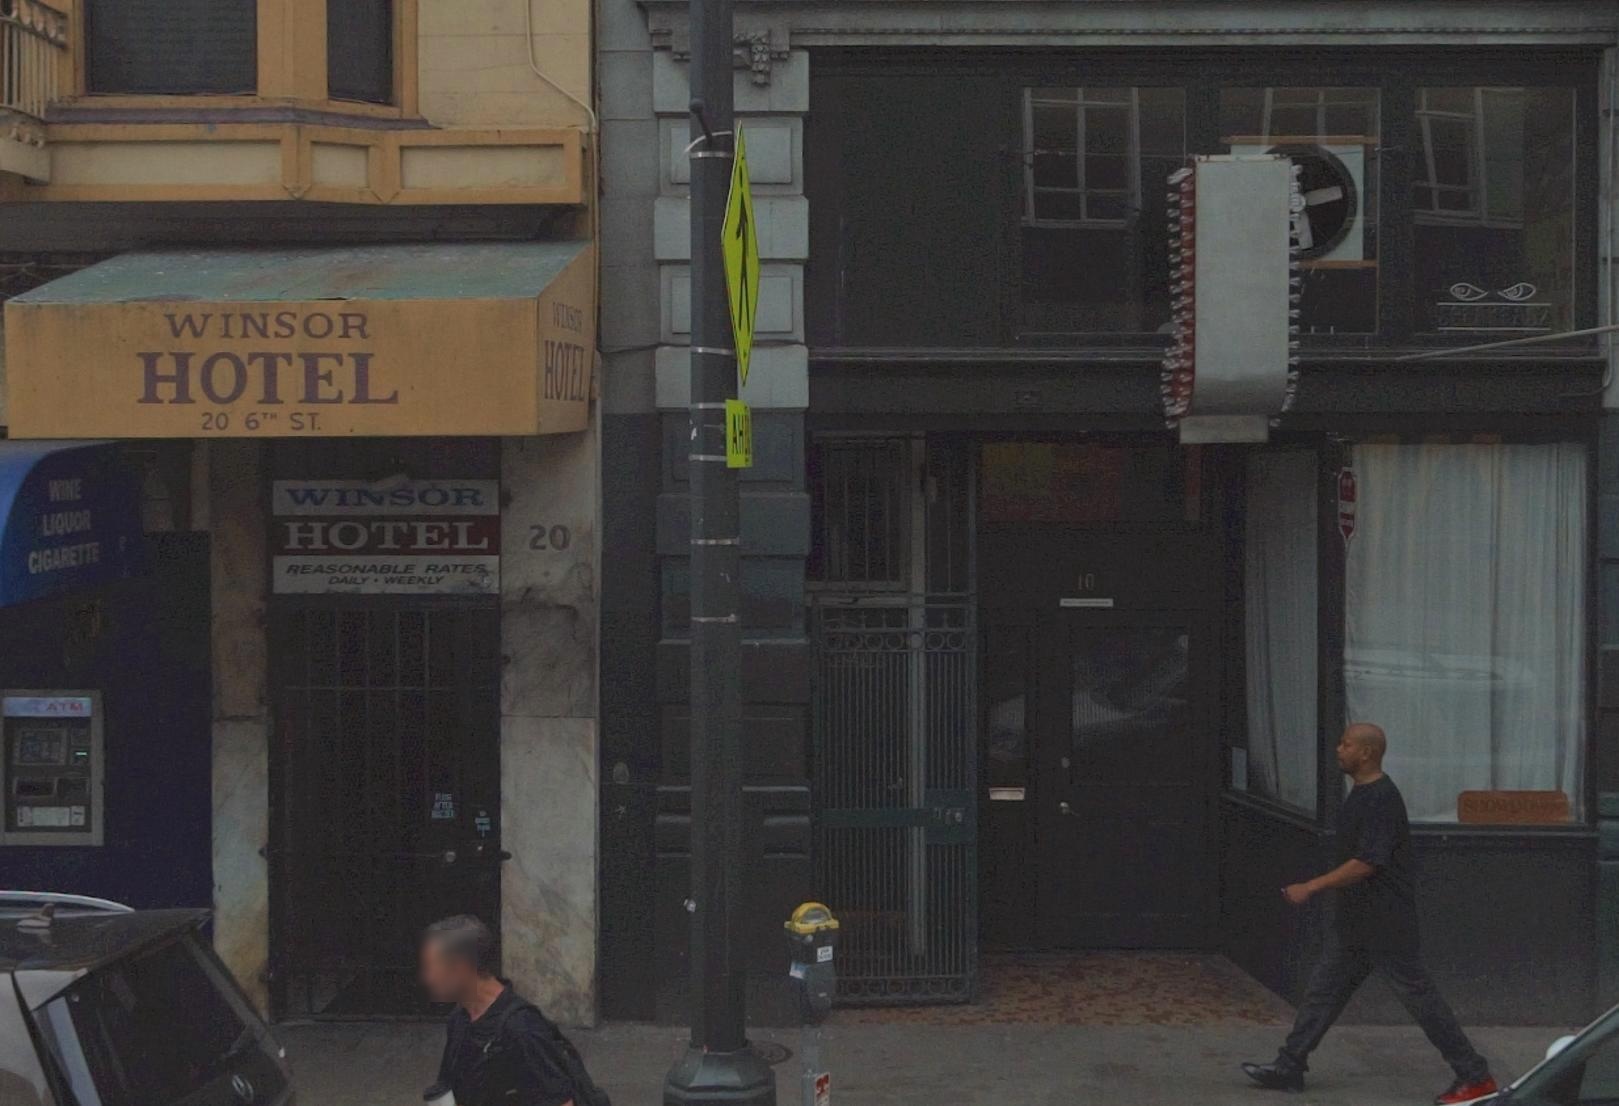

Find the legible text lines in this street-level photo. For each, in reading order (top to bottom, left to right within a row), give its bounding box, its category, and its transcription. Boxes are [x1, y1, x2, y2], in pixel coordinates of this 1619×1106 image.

[159, 308, 376, 343] BusinessName: WINSOR
[134, 348, 404, 408] BusinessName: HOTEL
[542, 336, 588, 405] BusinessName: HOTEL
[198, 410, 233, 433] StreetNumber: 20
[242, 409, 325, 433] StreetName: 6TH ST.
[729, 410, 746, 457] None: AH
[44, 475, 86, 505] None: WINE
[280, 485, 488, 509] BusinessName: WI*SOR
[39, 505, 96, 540] None: LIQUOR
[281, 519, 491, 552] BusinessName: HOTEL
[528, 522, 572, 554] StreetNumber: 20
[26, 537, 104, 577] None: CIGARETTE
[283, 561, 488, 578] None: REASONABLE RATE*
[325, 573, 448, 587] None: DAILY * WEEKLY
[1076, 571, 1097, 593] StreetNumber: 10
[43, 700, 86, 714] None: ATM